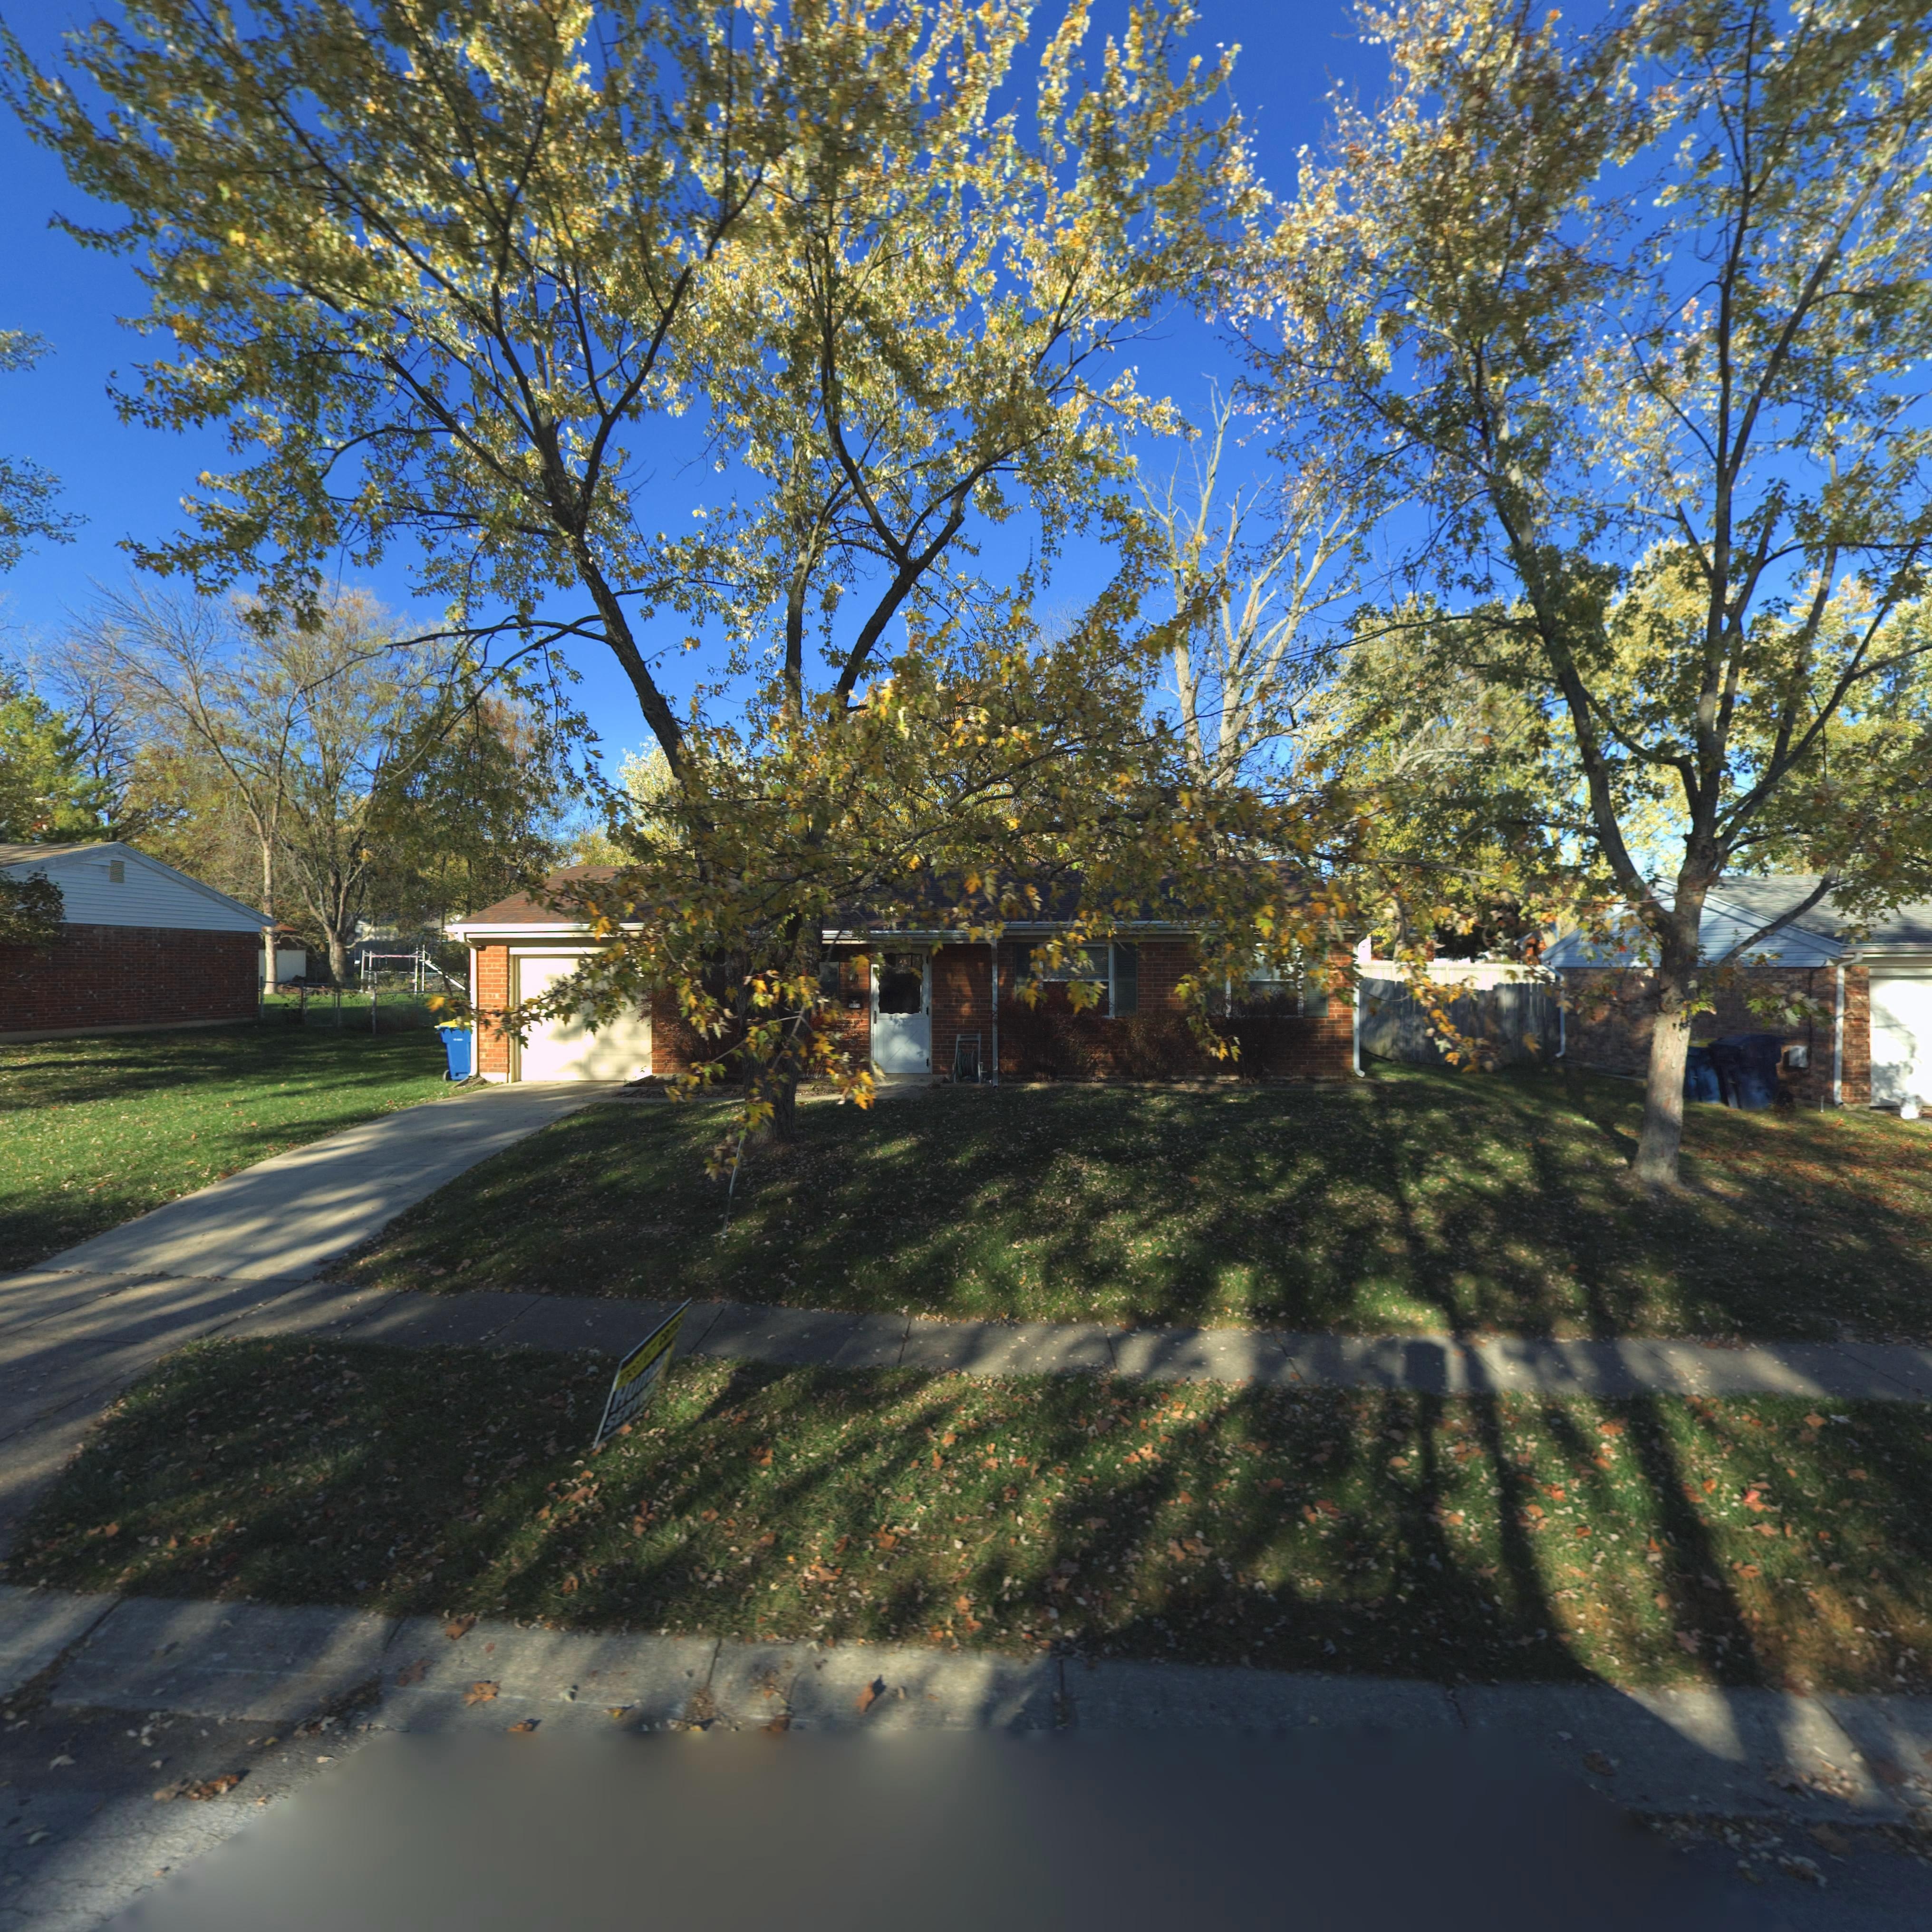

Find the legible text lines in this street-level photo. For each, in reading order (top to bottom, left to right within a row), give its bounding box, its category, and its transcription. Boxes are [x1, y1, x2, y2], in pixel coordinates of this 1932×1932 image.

[849, 1003, 860, 1008] StreetNumber: 5*35